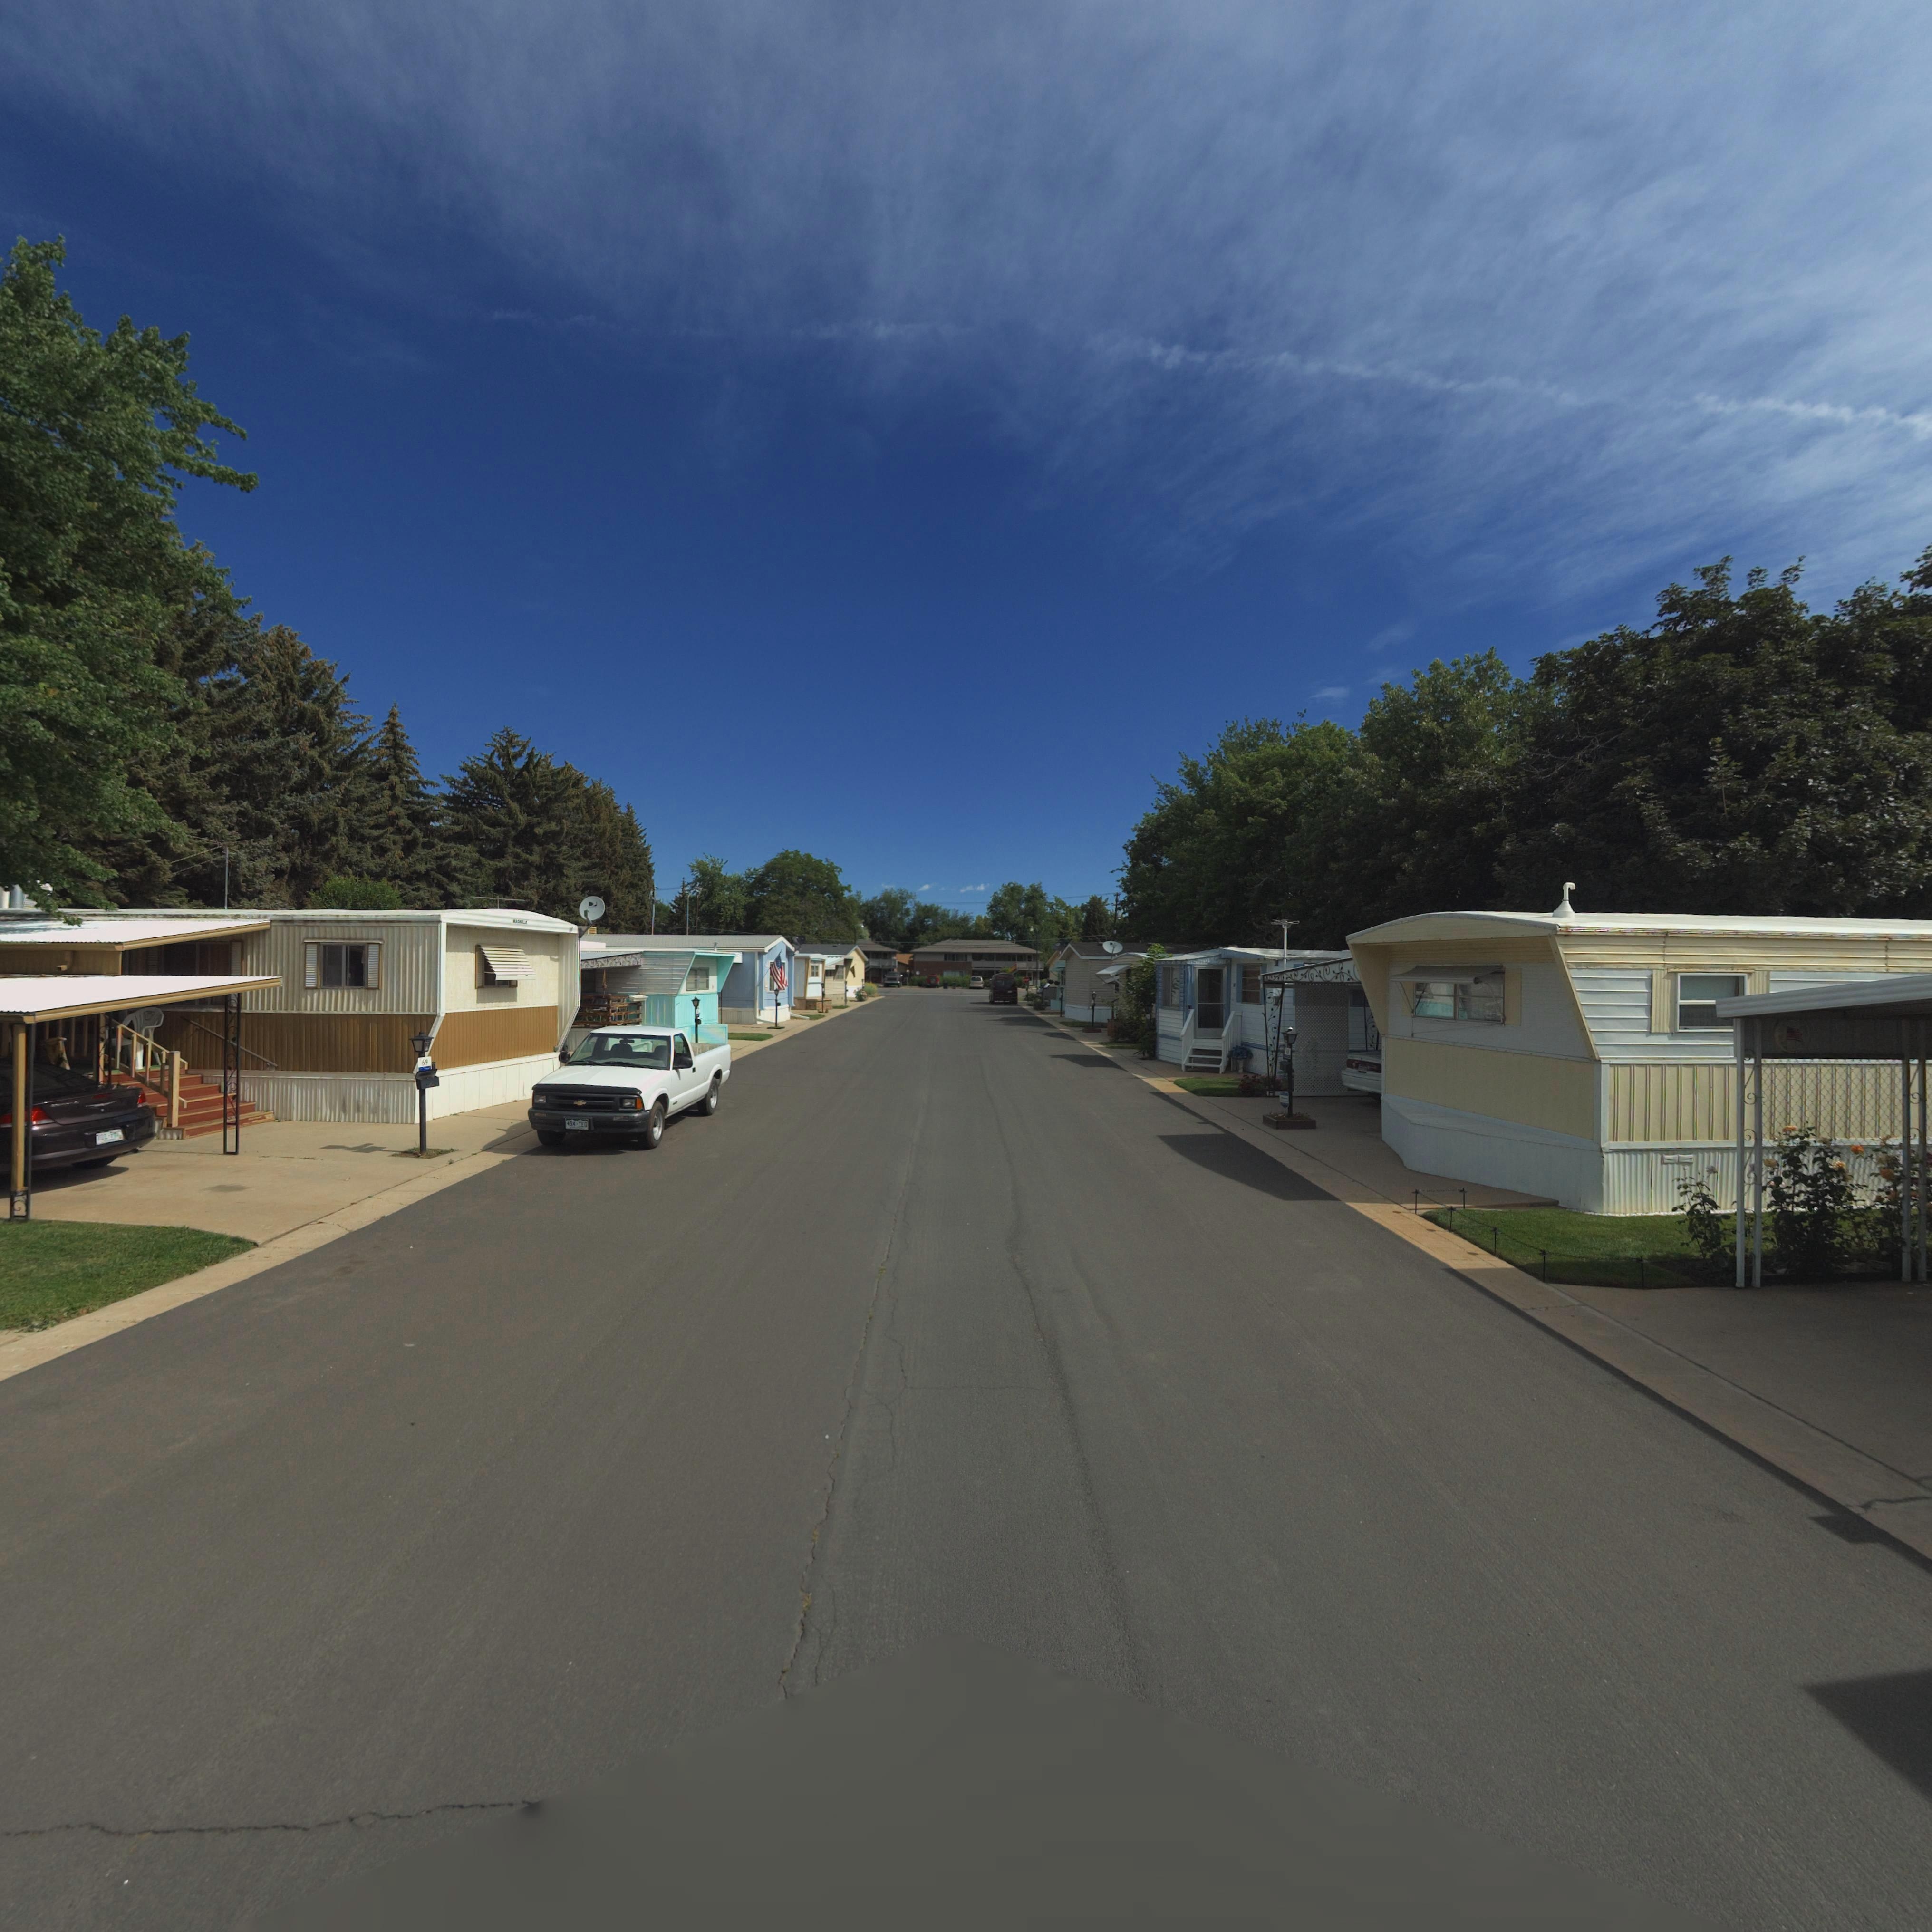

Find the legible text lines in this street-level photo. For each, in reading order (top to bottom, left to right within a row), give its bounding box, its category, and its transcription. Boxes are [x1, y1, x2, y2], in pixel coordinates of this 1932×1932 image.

[422, 1058, 428, 1066] StreetNumber: 69